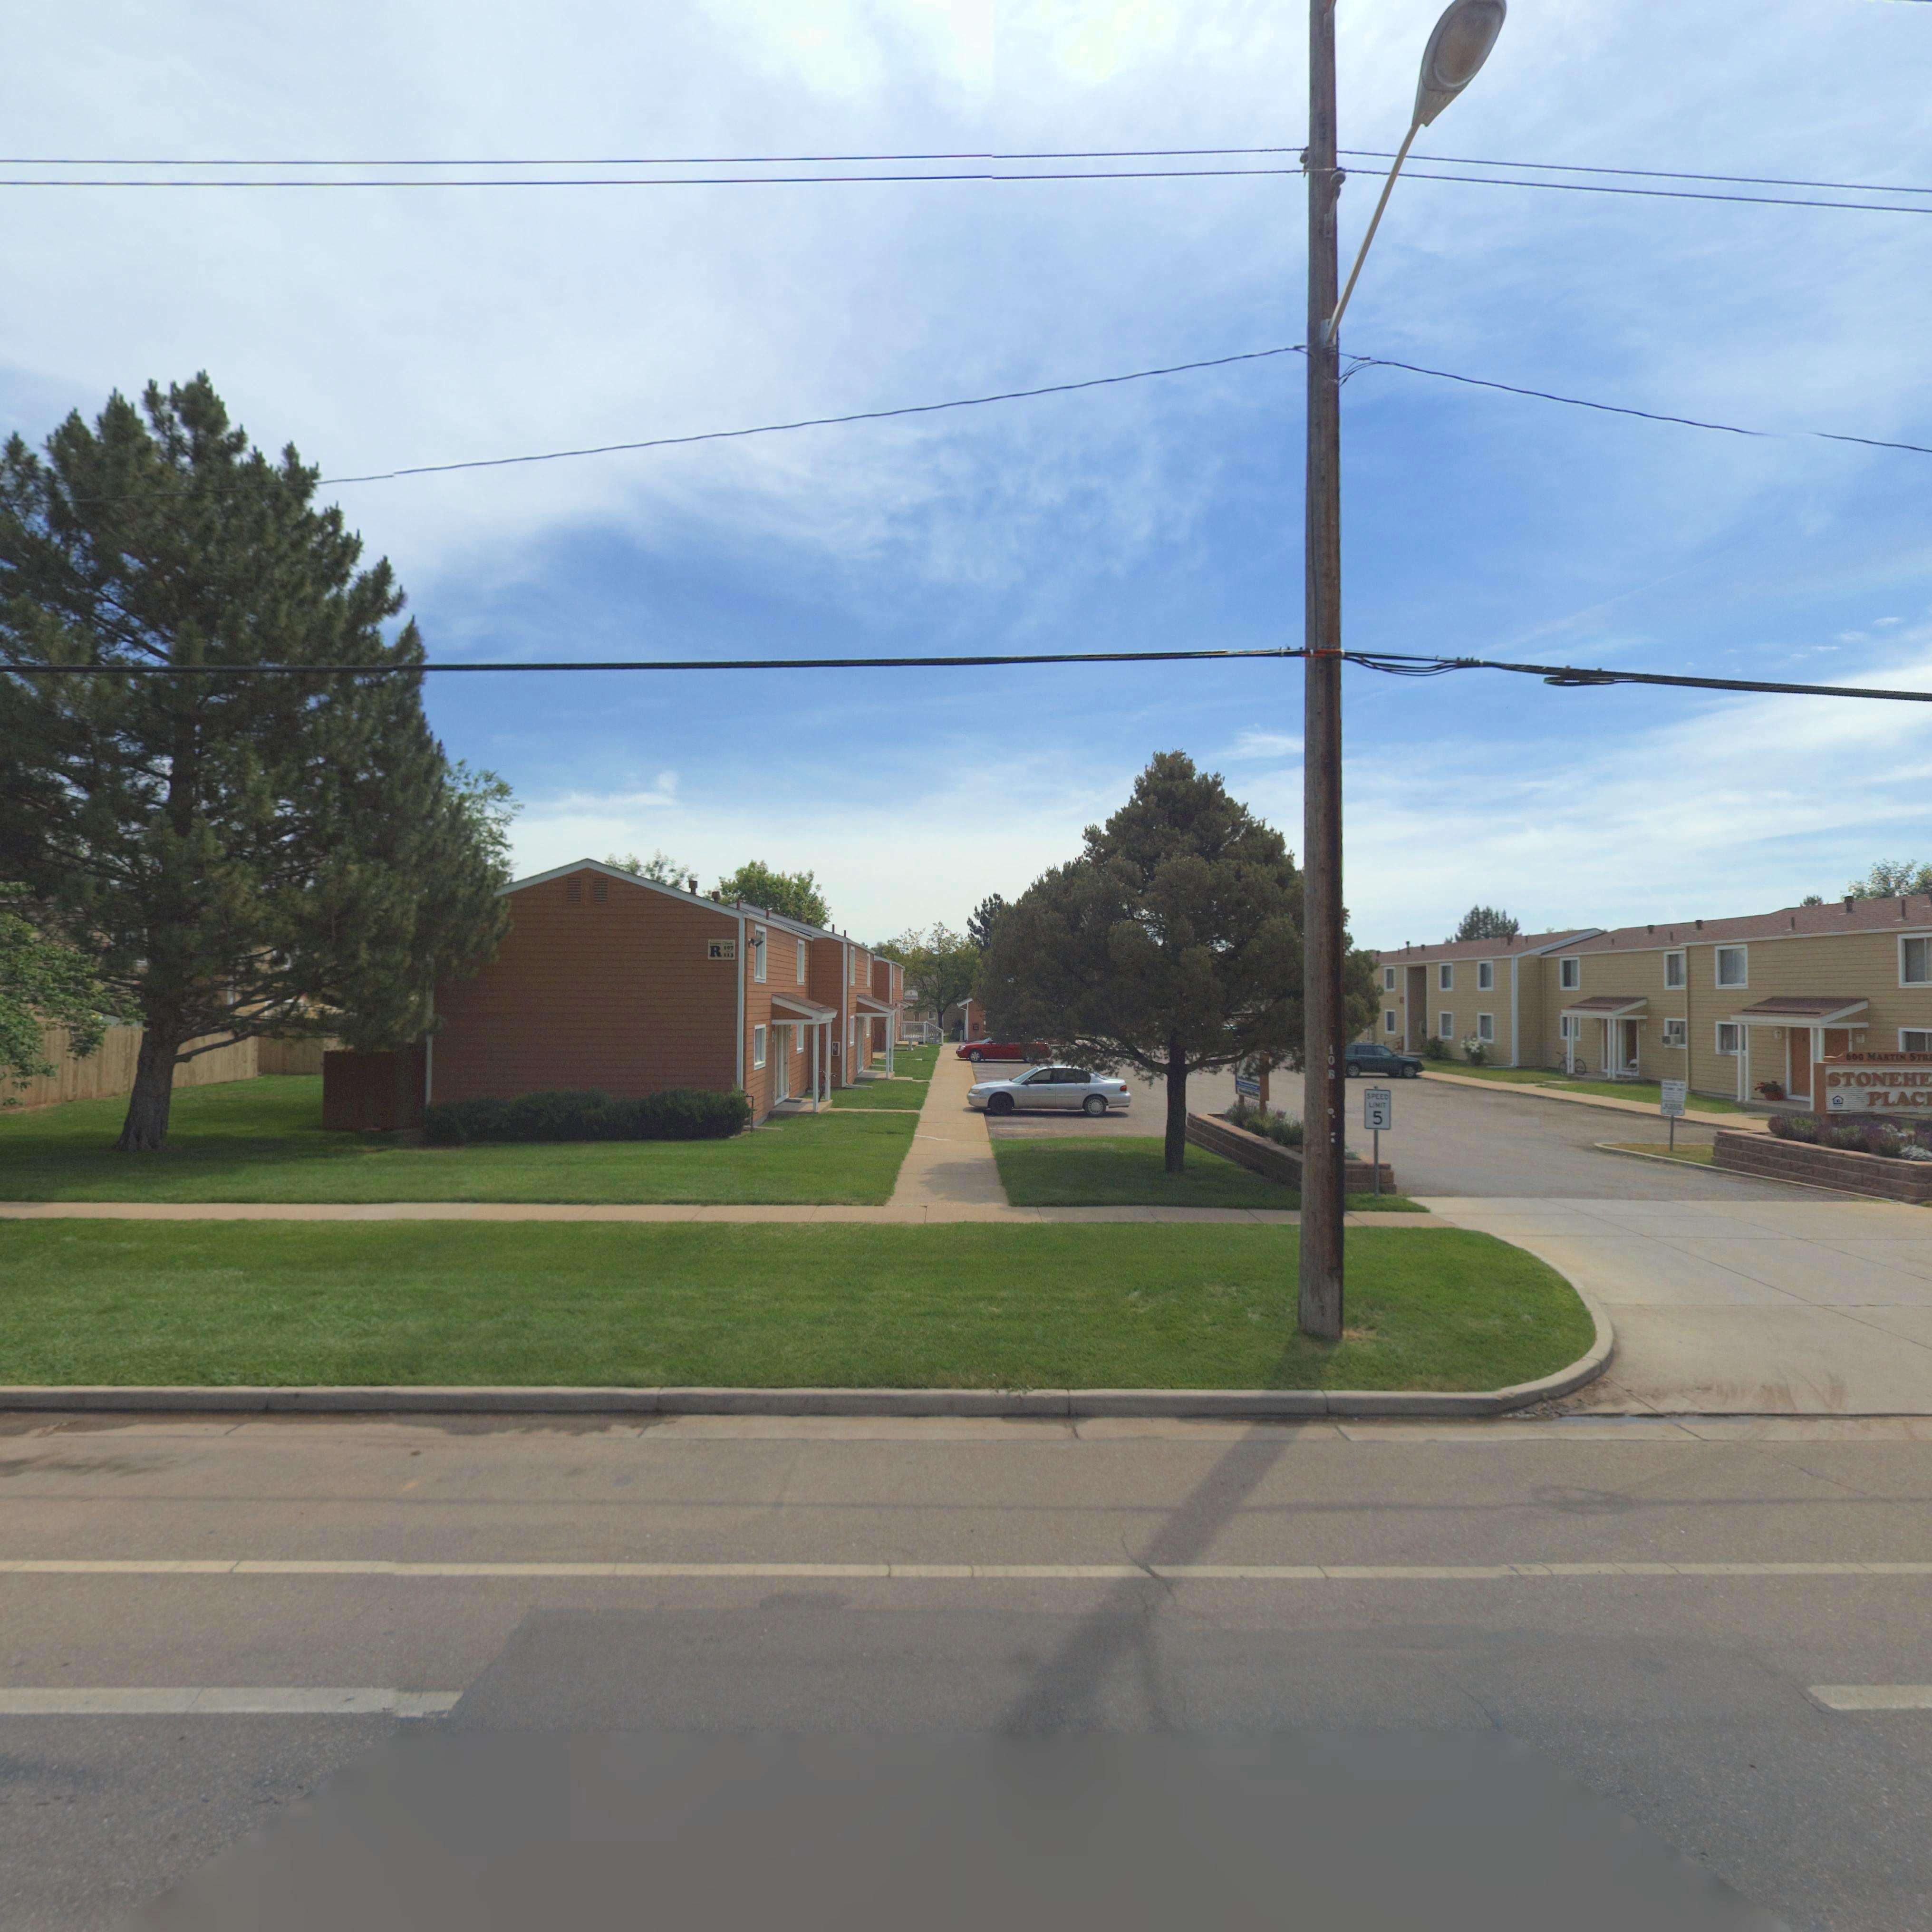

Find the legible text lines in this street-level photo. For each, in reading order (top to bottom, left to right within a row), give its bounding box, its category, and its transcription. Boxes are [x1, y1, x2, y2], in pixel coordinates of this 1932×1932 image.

[1845, 1053, 1863, 1061] StreetNumber: 600
[1867, 1053, 1929, 1061] StreetName: MARTIN STR